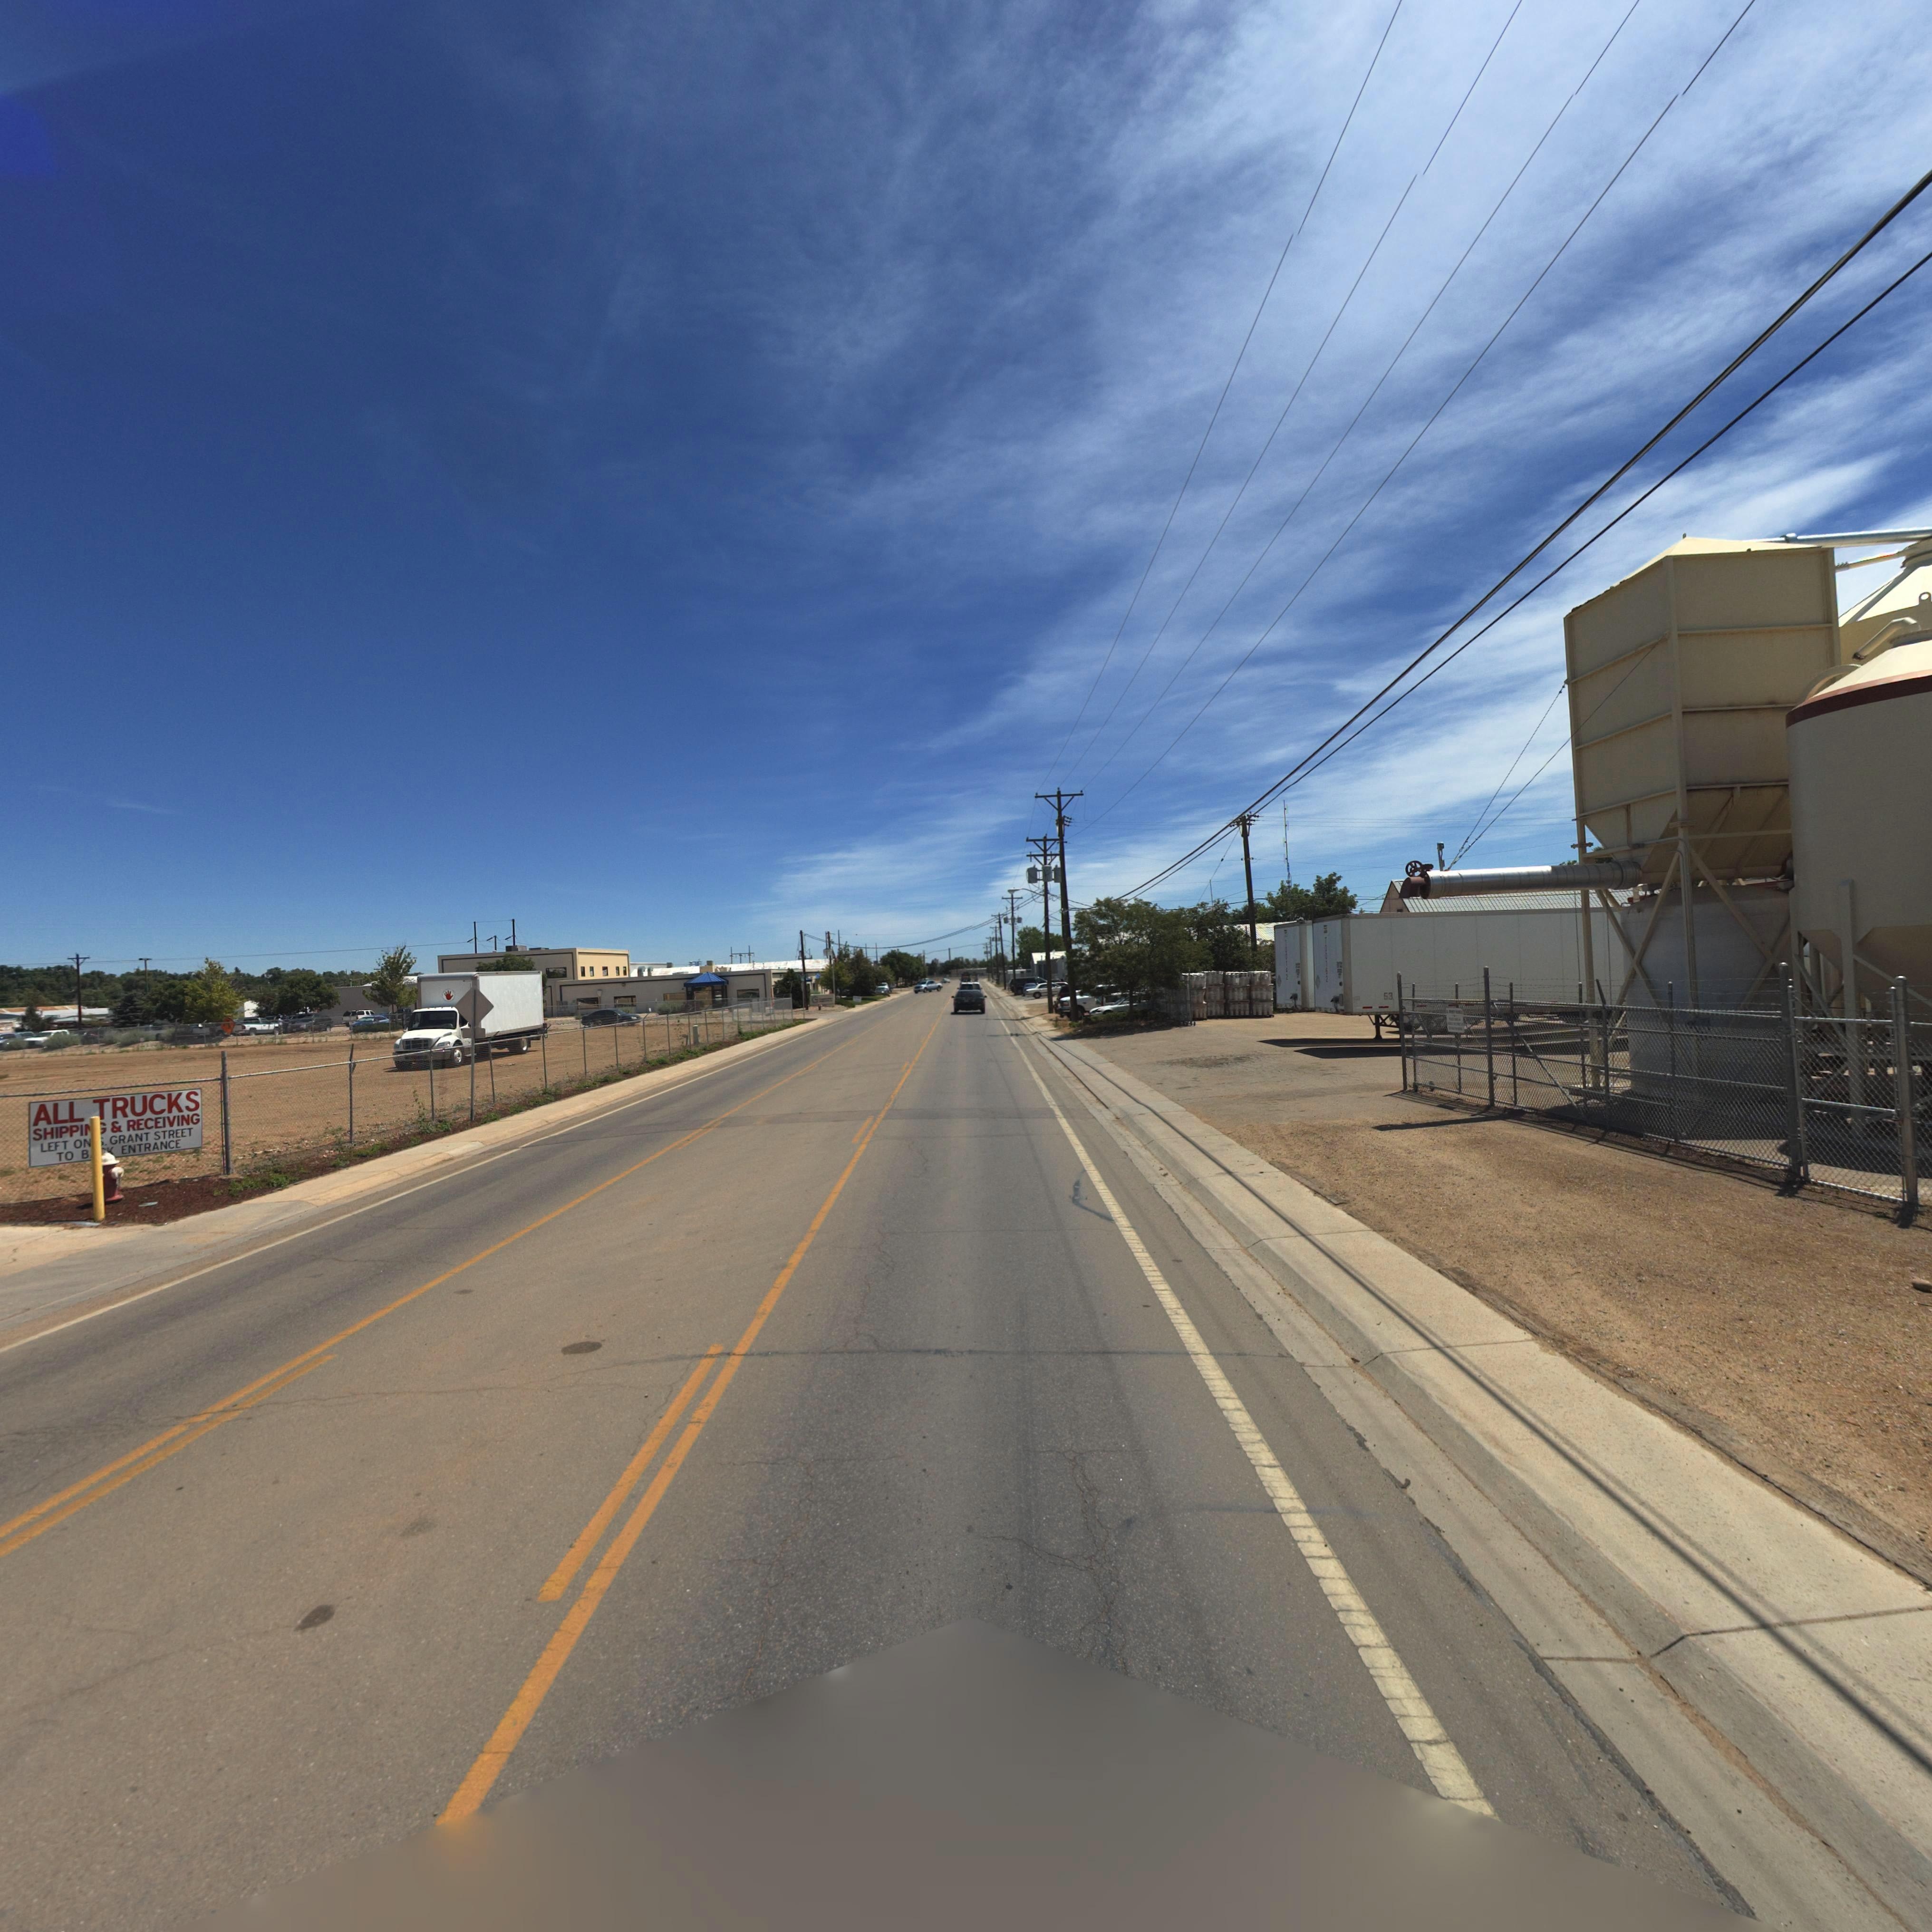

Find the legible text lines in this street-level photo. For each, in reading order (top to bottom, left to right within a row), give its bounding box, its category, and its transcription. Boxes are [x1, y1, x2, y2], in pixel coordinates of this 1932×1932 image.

[108, 1127, 193, 1145] StreetName: GRANT STREET